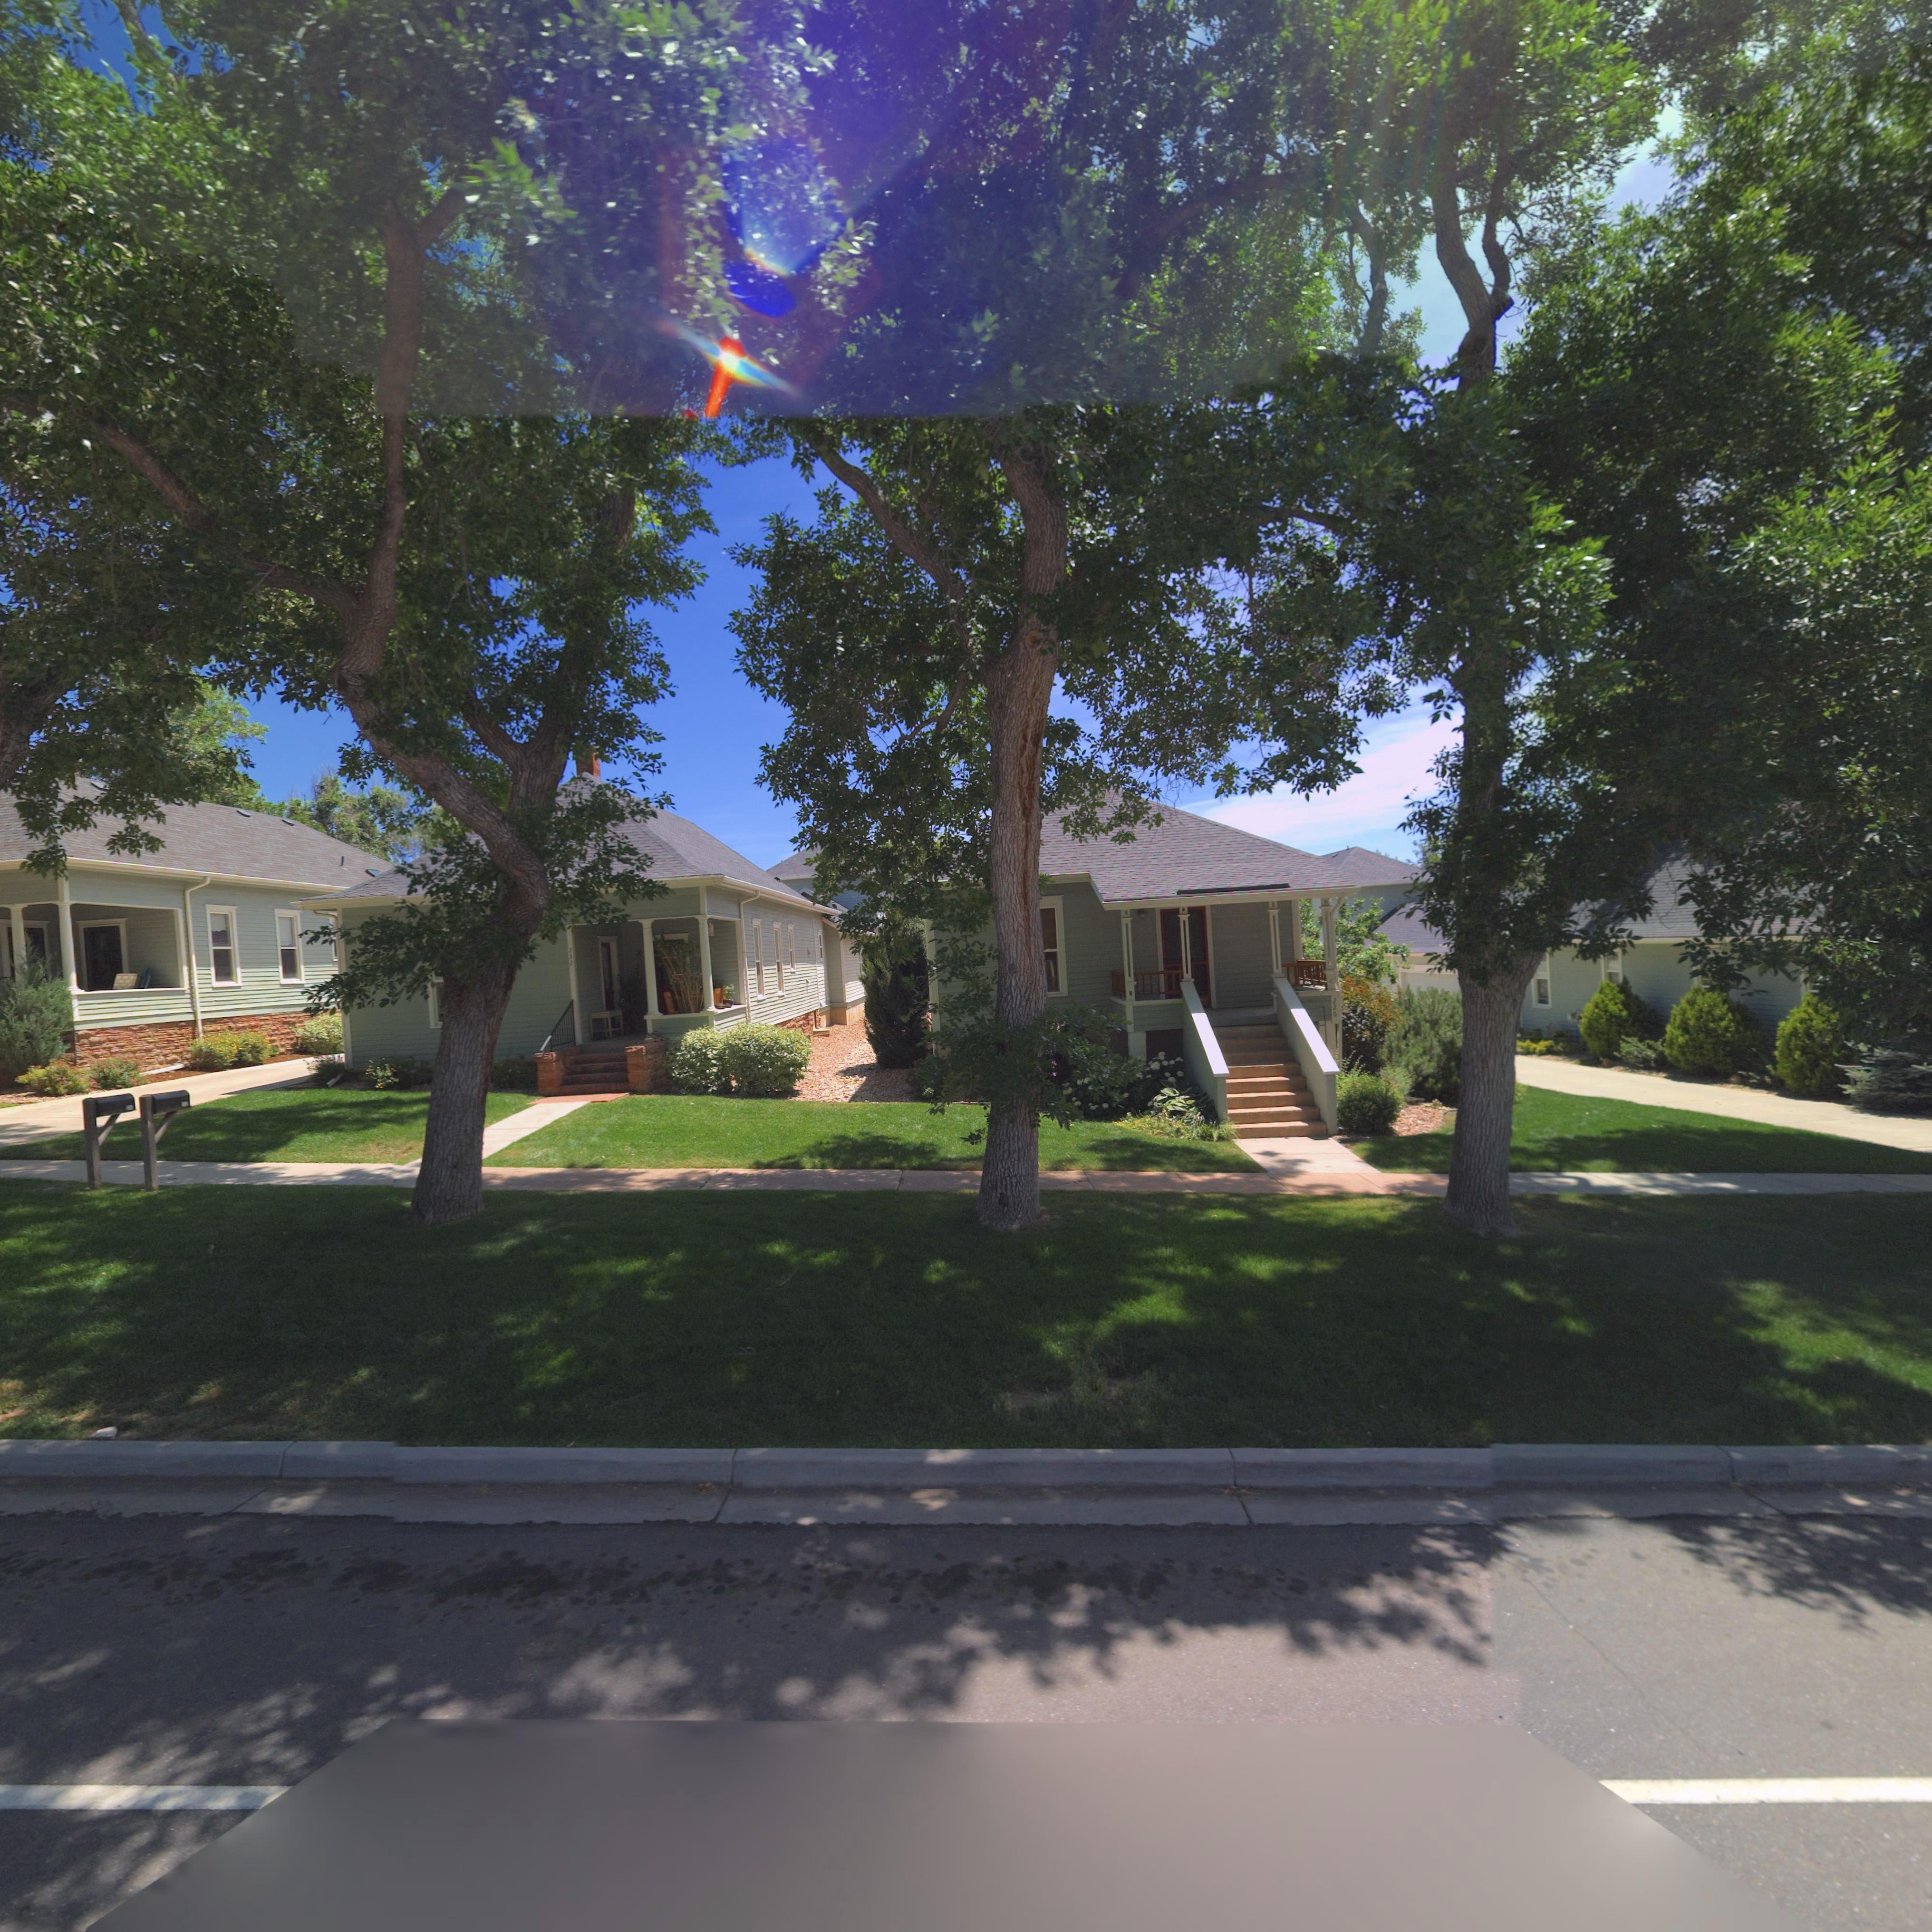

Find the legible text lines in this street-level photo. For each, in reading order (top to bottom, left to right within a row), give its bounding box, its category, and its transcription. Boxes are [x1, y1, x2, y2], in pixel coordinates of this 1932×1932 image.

[568, 947, 573, 966] StreetNumber: 232
[1332, 997, 1337, 1017] StreetNumber: 226